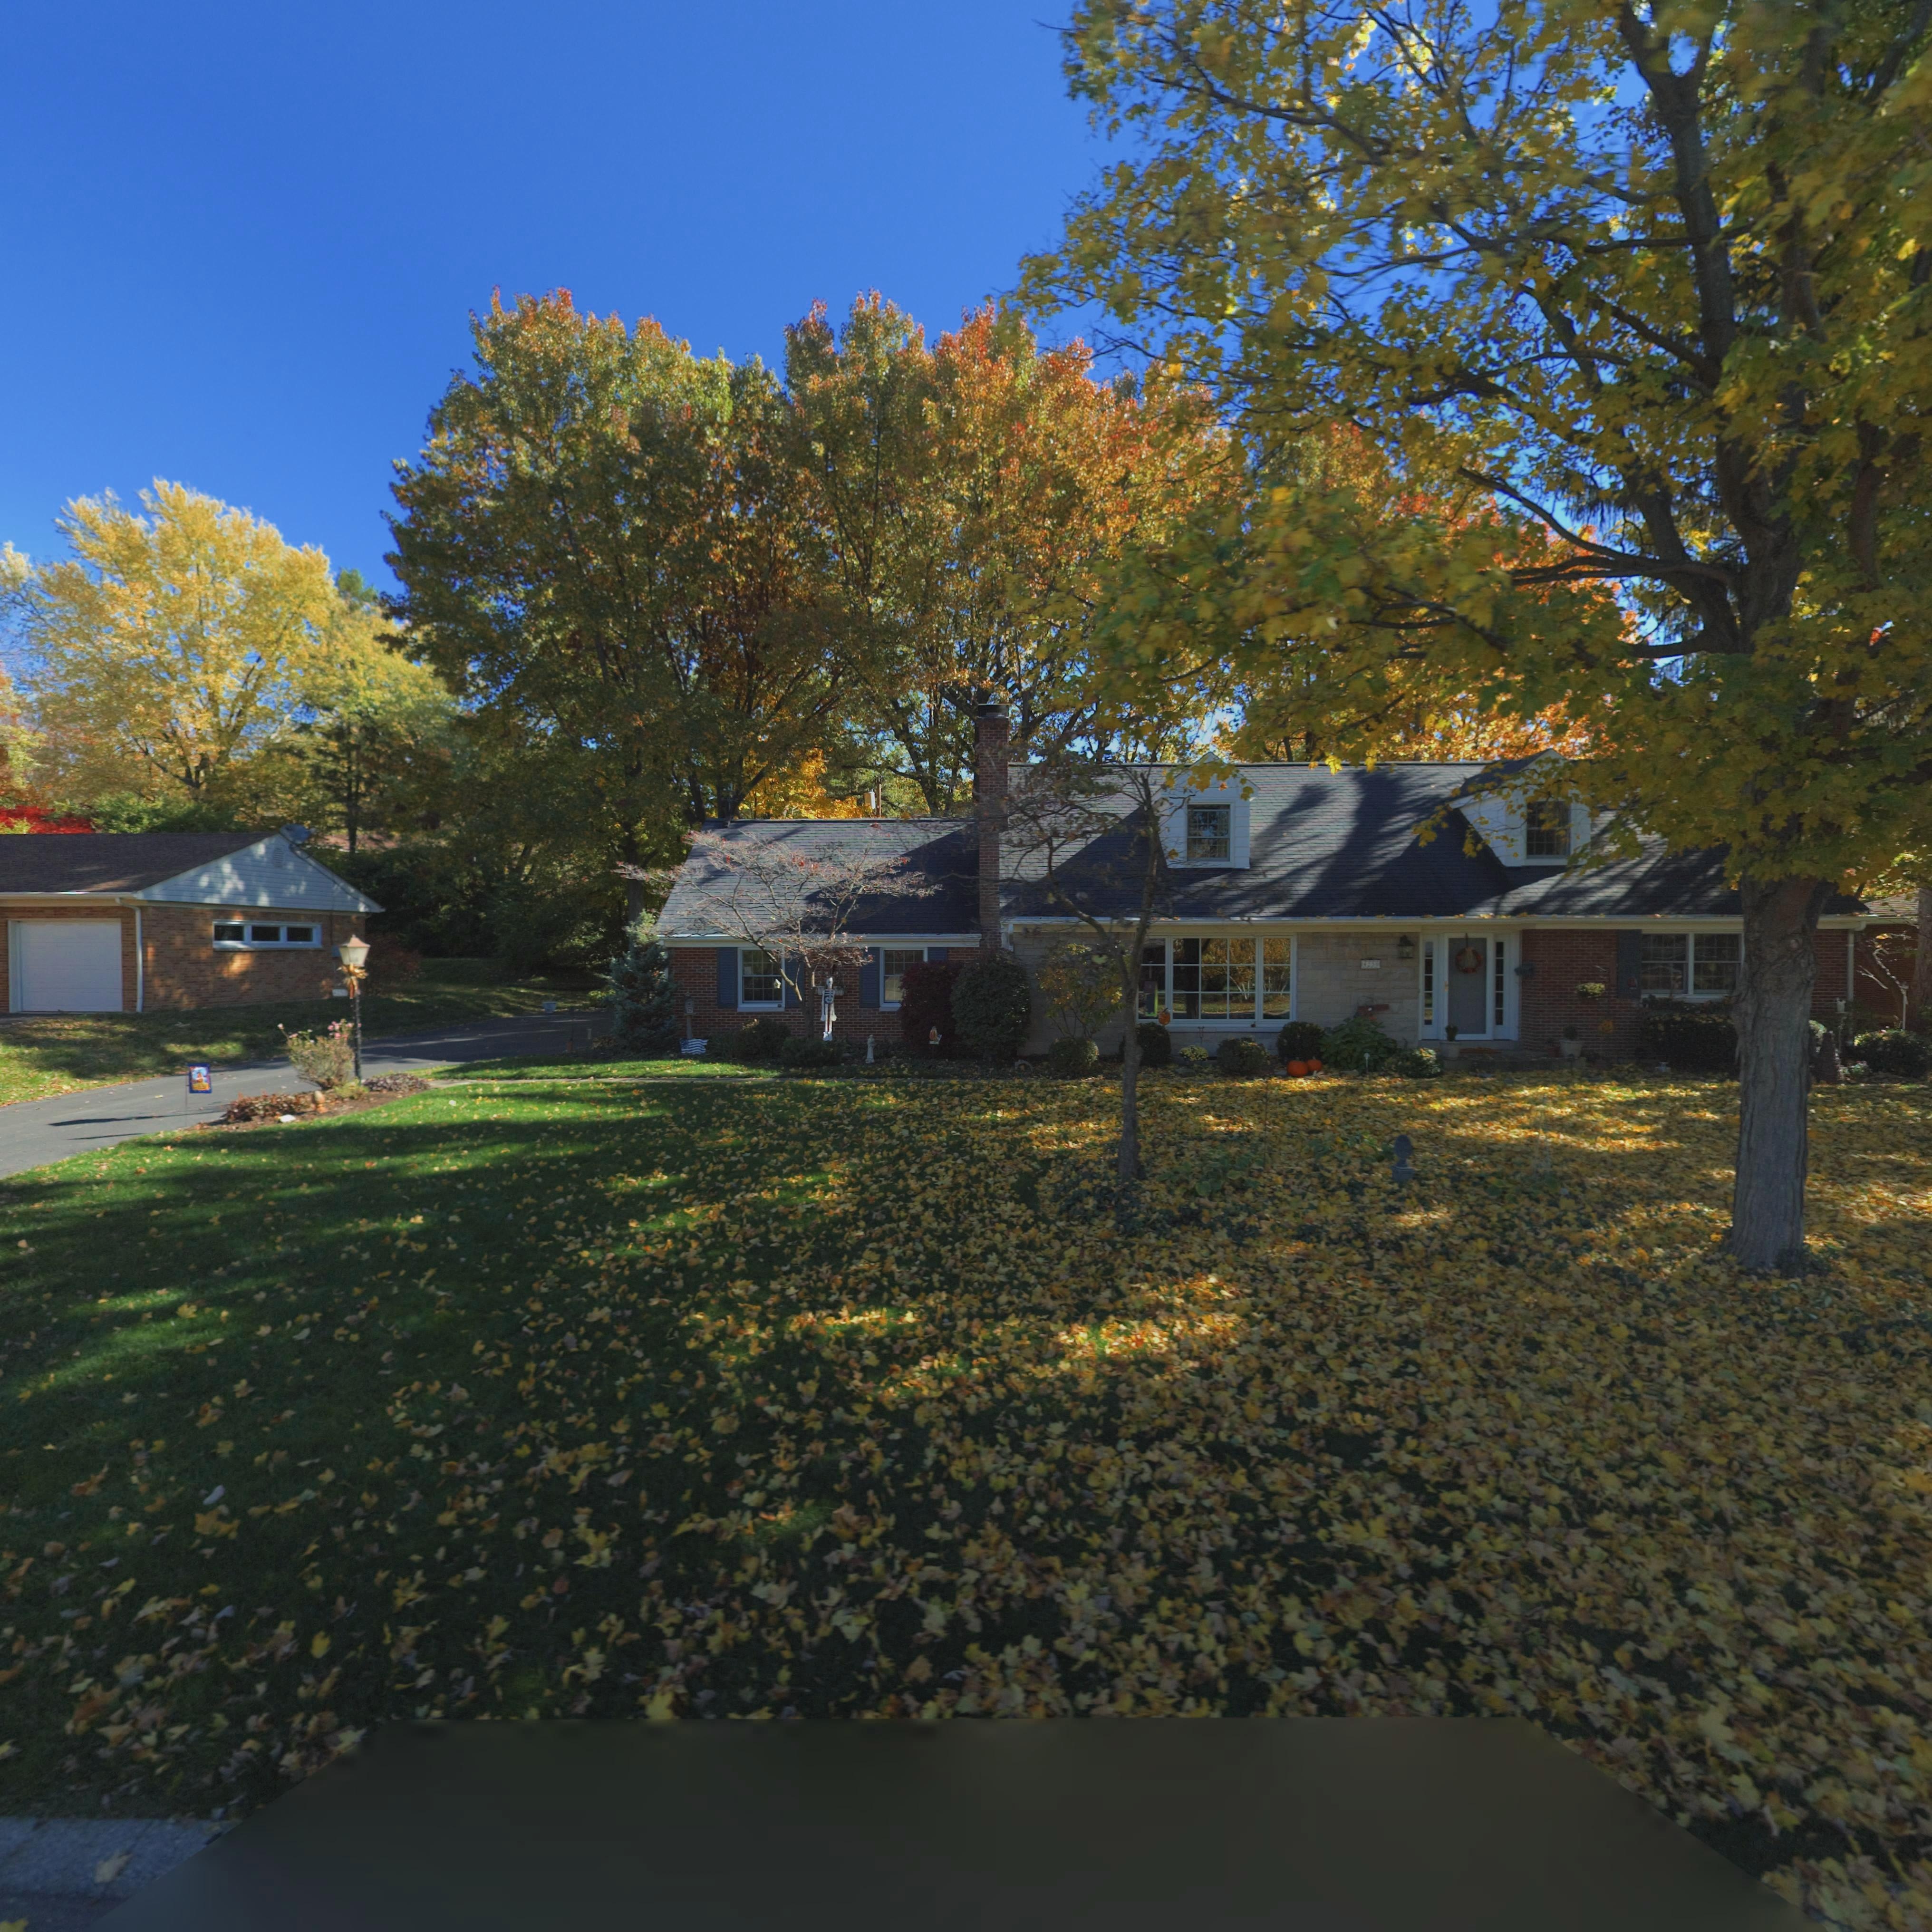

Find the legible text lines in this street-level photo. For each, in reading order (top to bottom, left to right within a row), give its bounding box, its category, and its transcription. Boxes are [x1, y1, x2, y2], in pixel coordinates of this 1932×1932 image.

[1363, 961, 1379, 967] StreetNumber: 4250